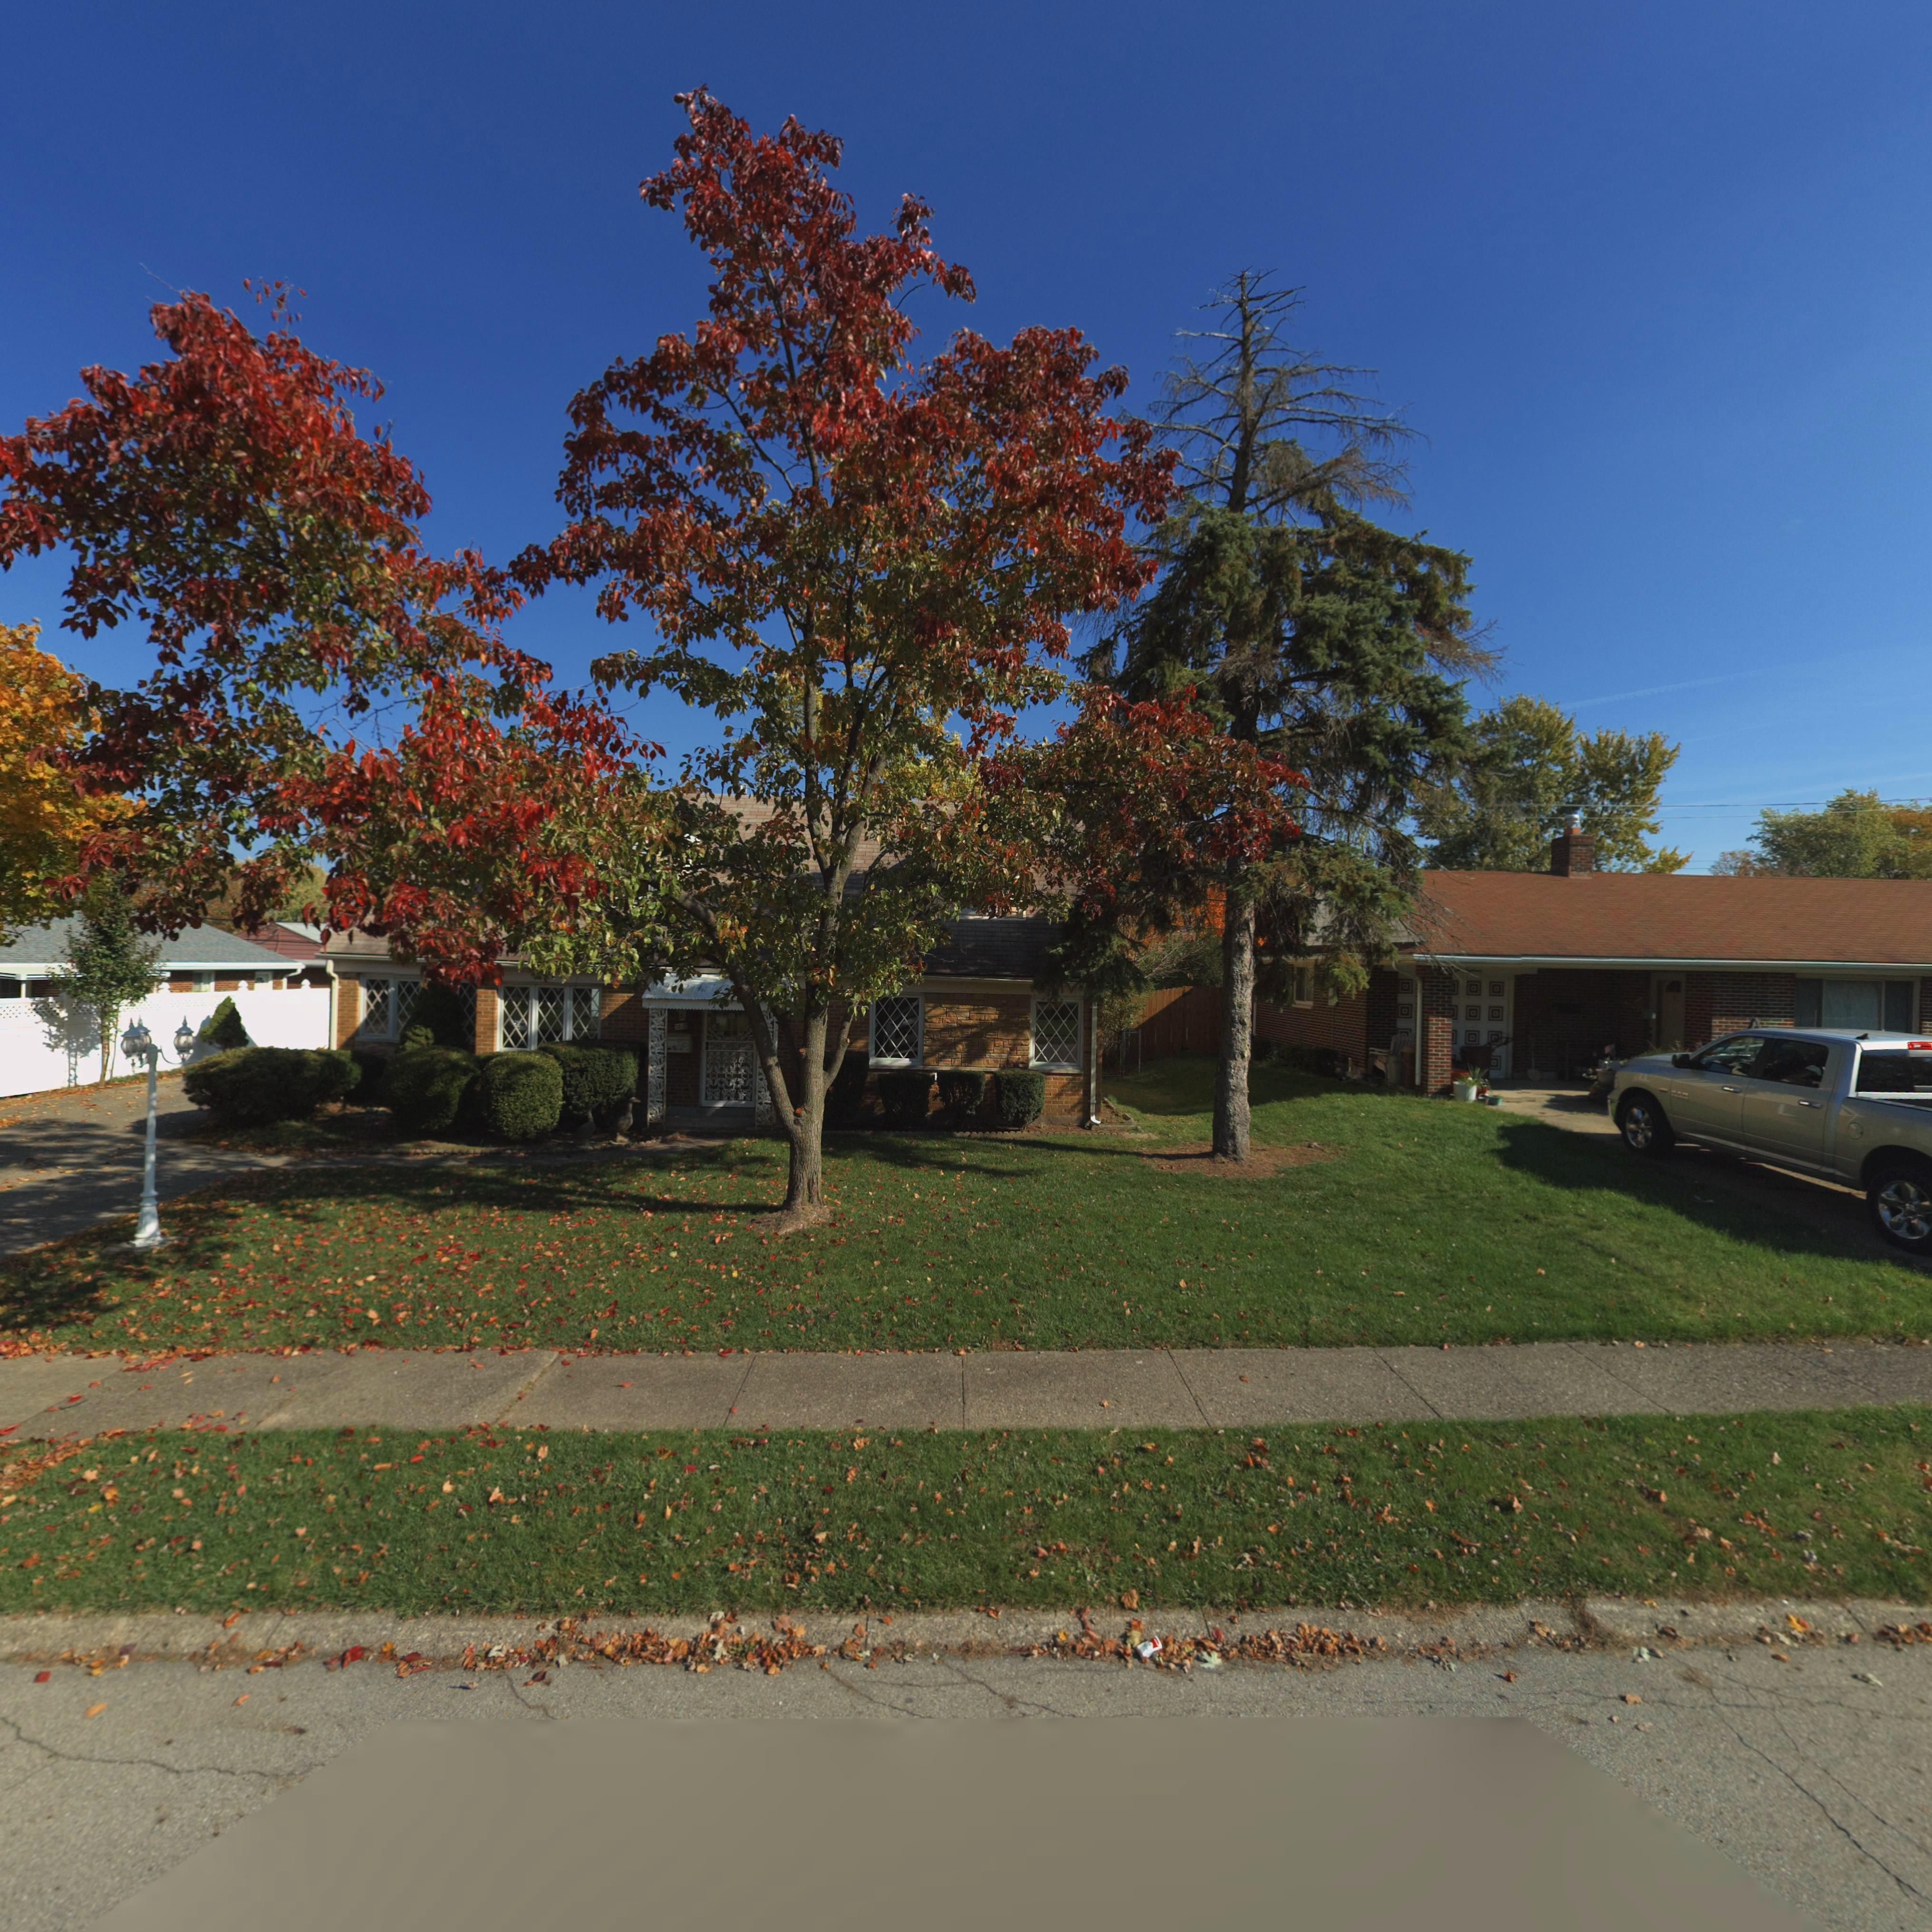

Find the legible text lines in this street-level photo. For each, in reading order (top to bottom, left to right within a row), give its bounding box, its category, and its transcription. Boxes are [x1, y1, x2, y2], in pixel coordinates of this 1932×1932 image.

[673, 1022, 689, 1031] StreetNumber: 38**